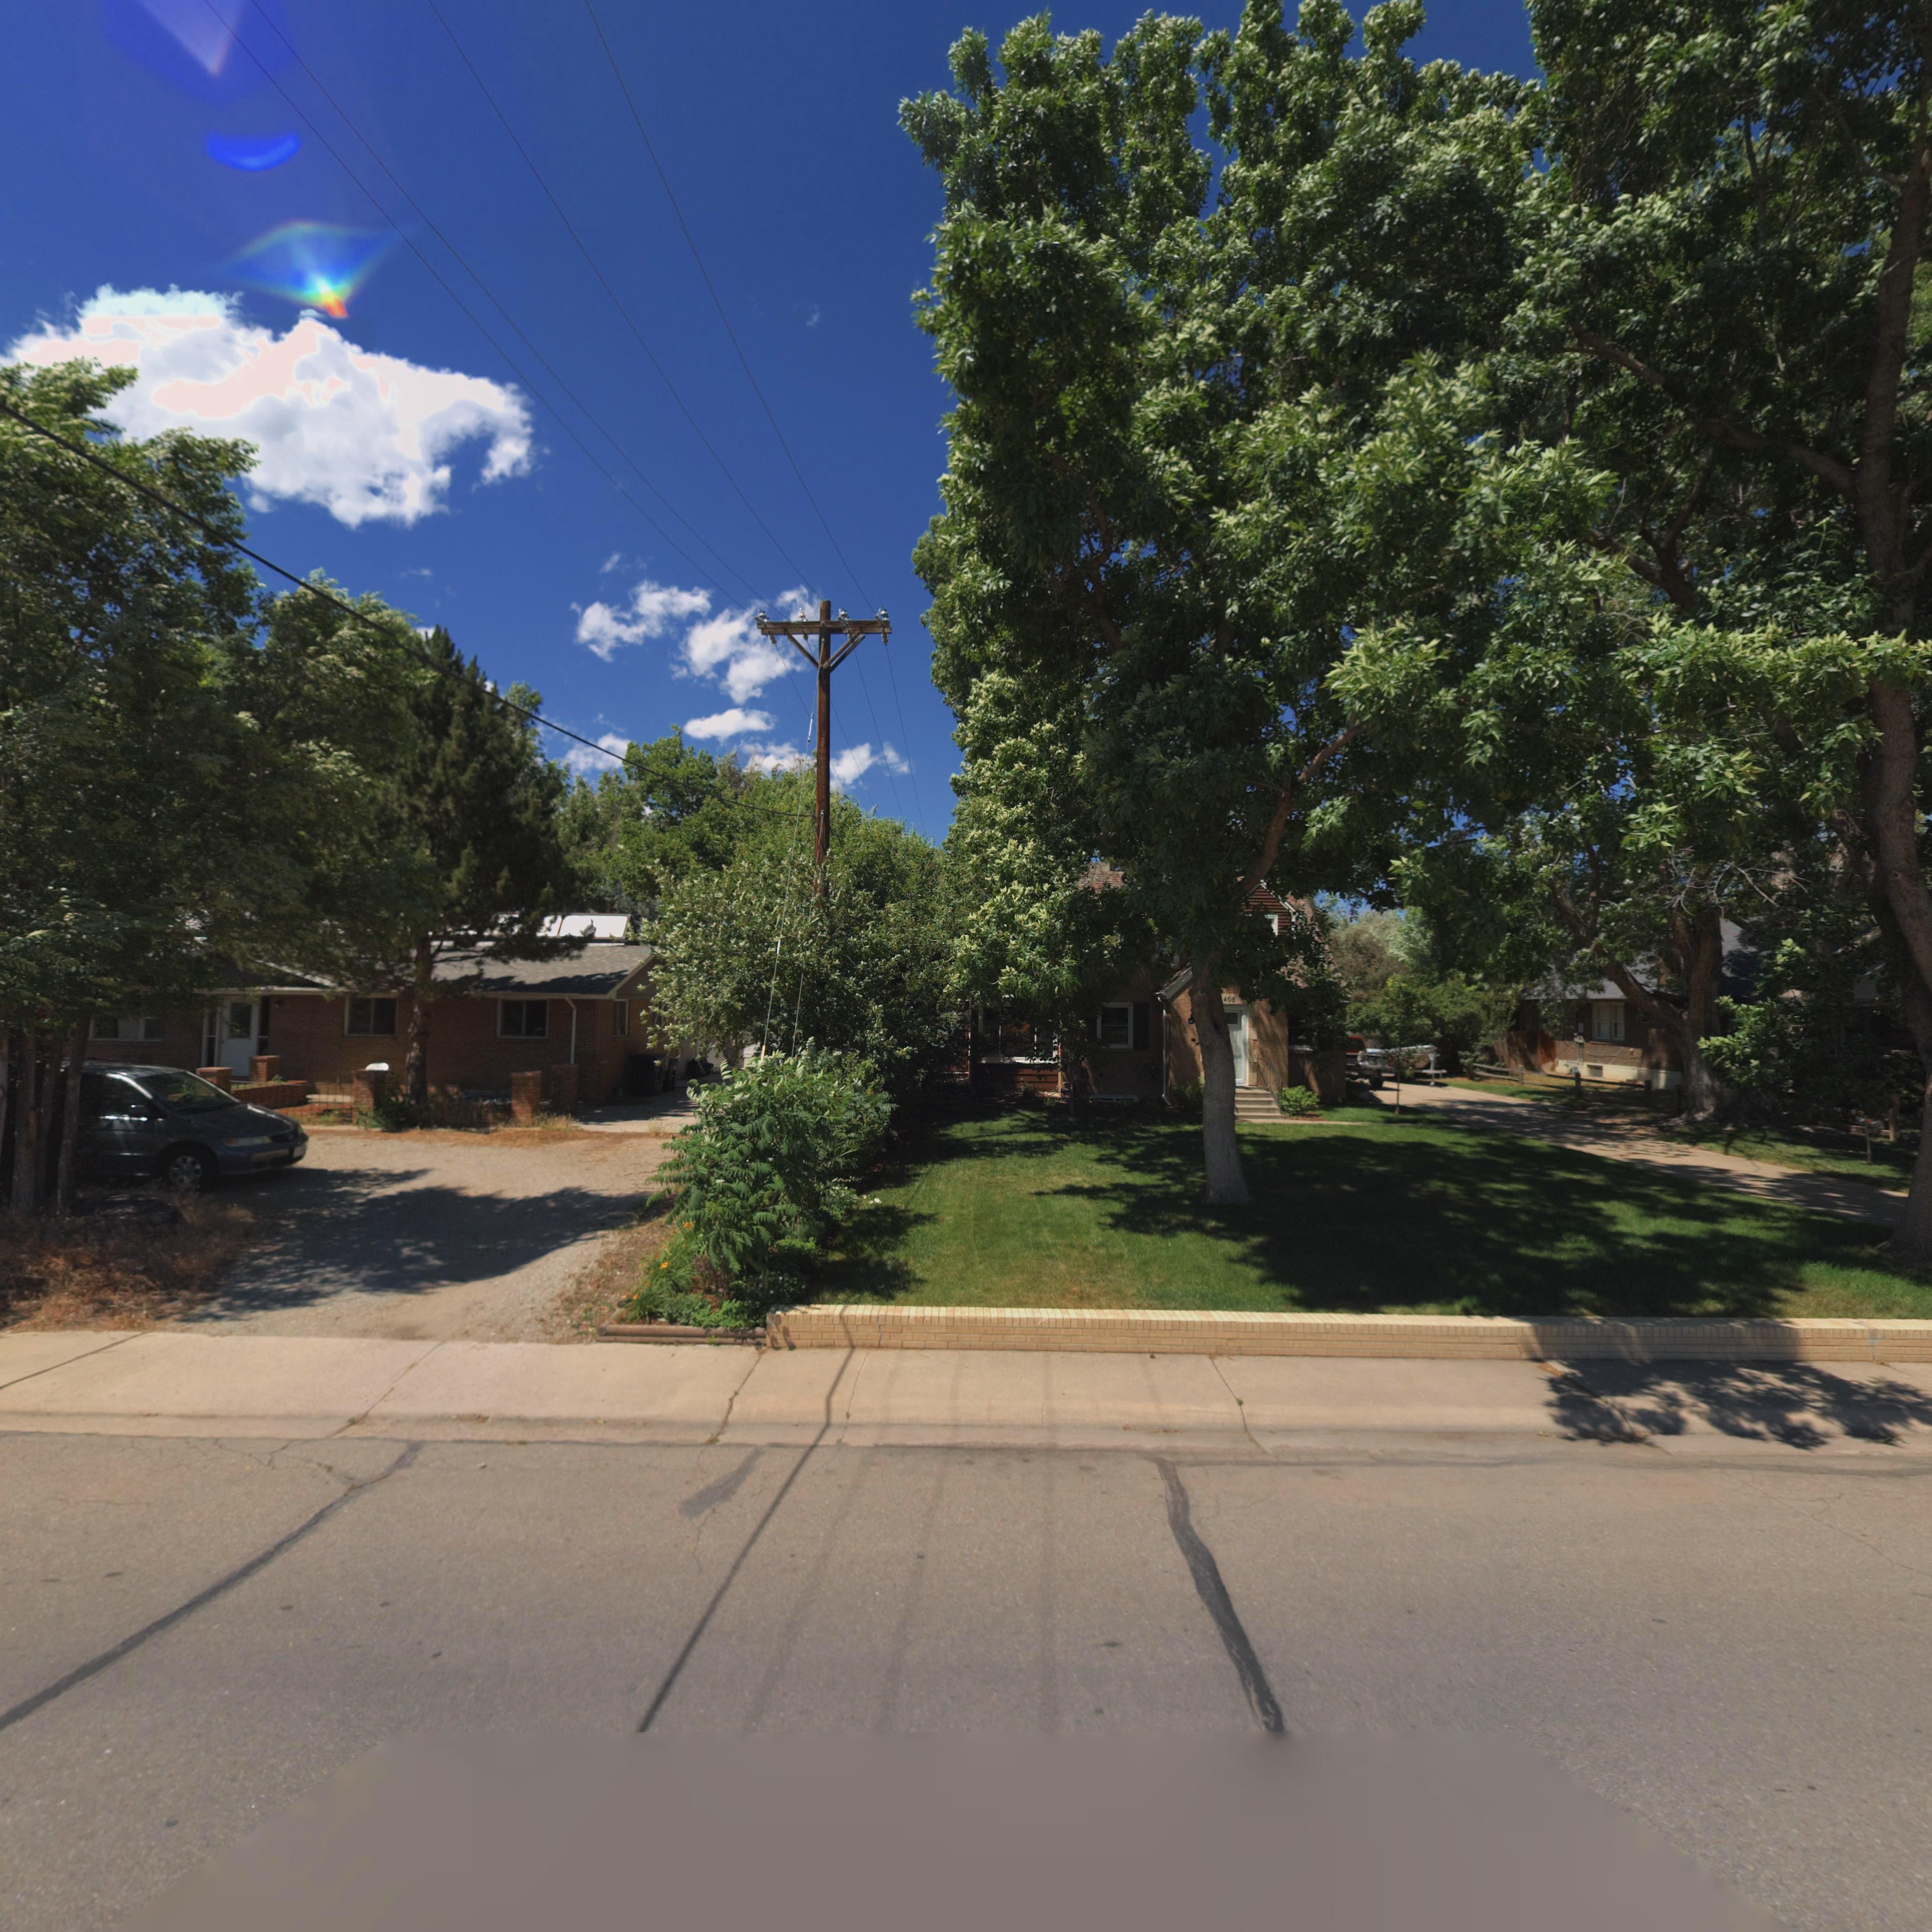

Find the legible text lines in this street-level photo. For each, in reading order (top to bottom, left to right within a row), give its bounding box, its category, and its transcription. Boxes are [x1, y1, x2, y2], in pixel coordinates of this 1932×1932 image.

[1223, 996, 1236, 1003] StreetNumber: 408